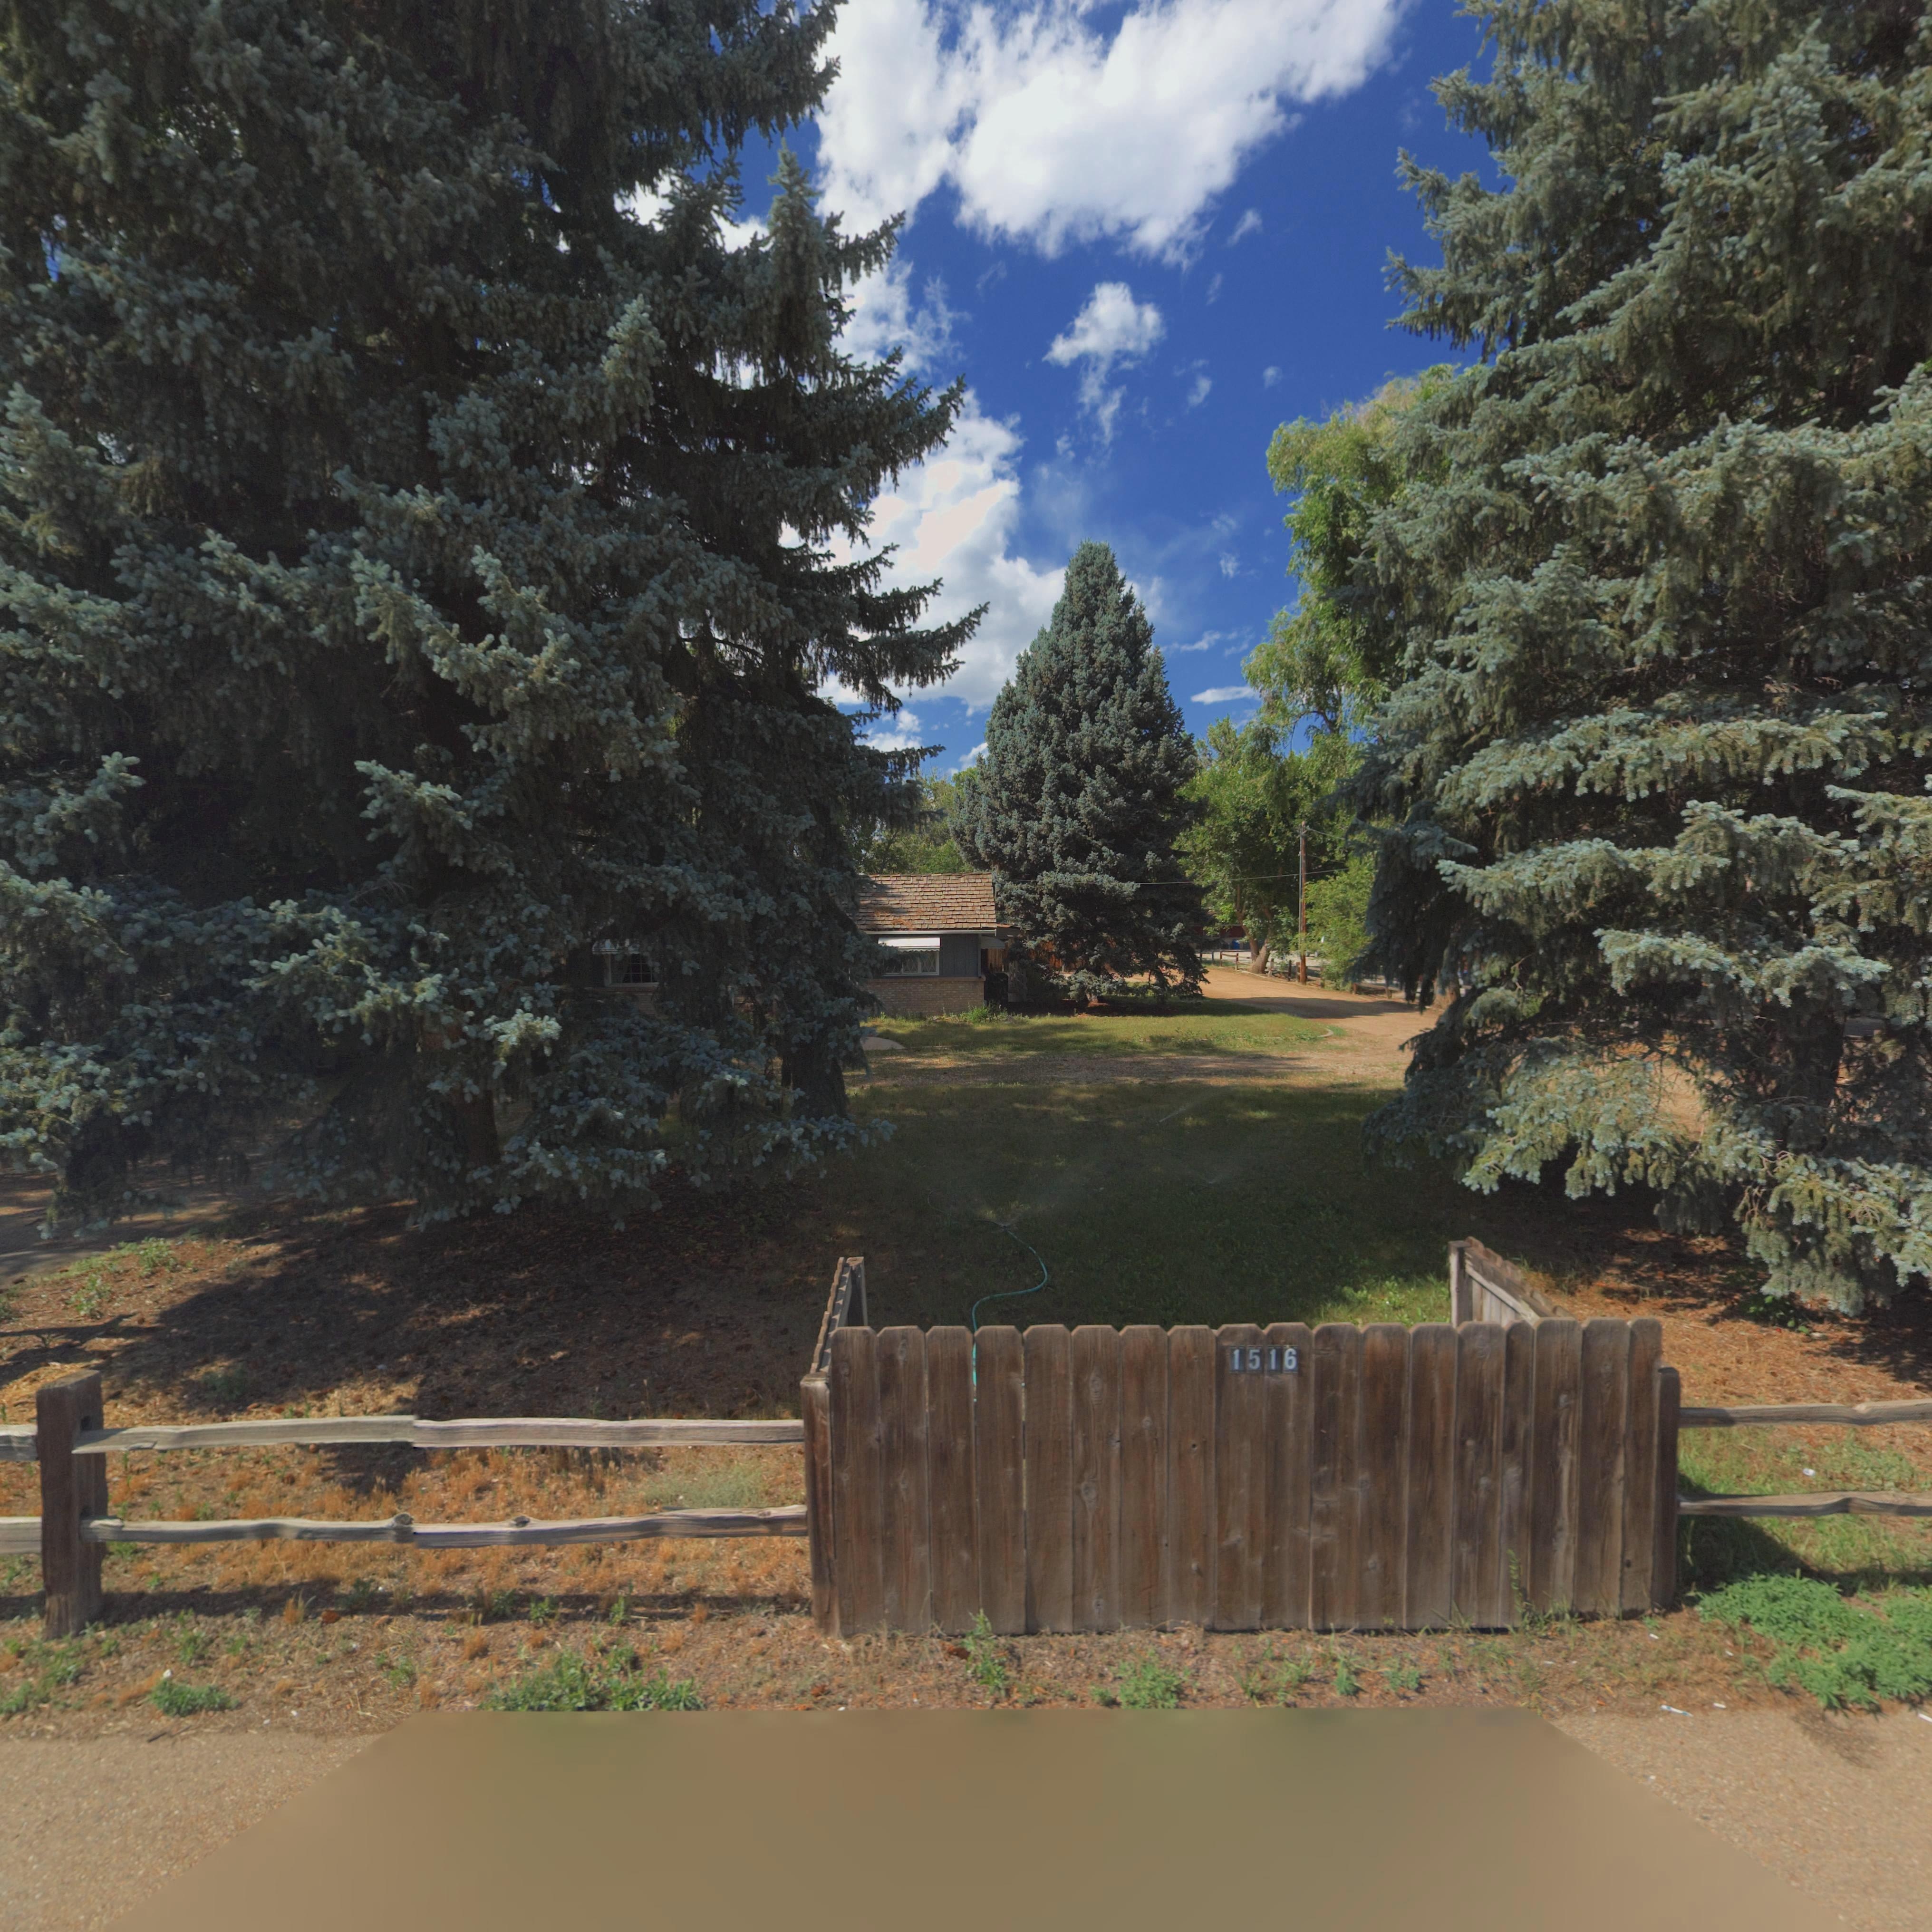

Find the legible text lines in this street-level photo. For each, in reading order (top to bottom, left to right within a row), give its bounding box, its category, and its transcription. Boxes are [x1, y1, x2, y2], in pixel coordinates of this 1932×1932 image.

[1232, 1347, 1298, 1371] StreetNumber: 1516